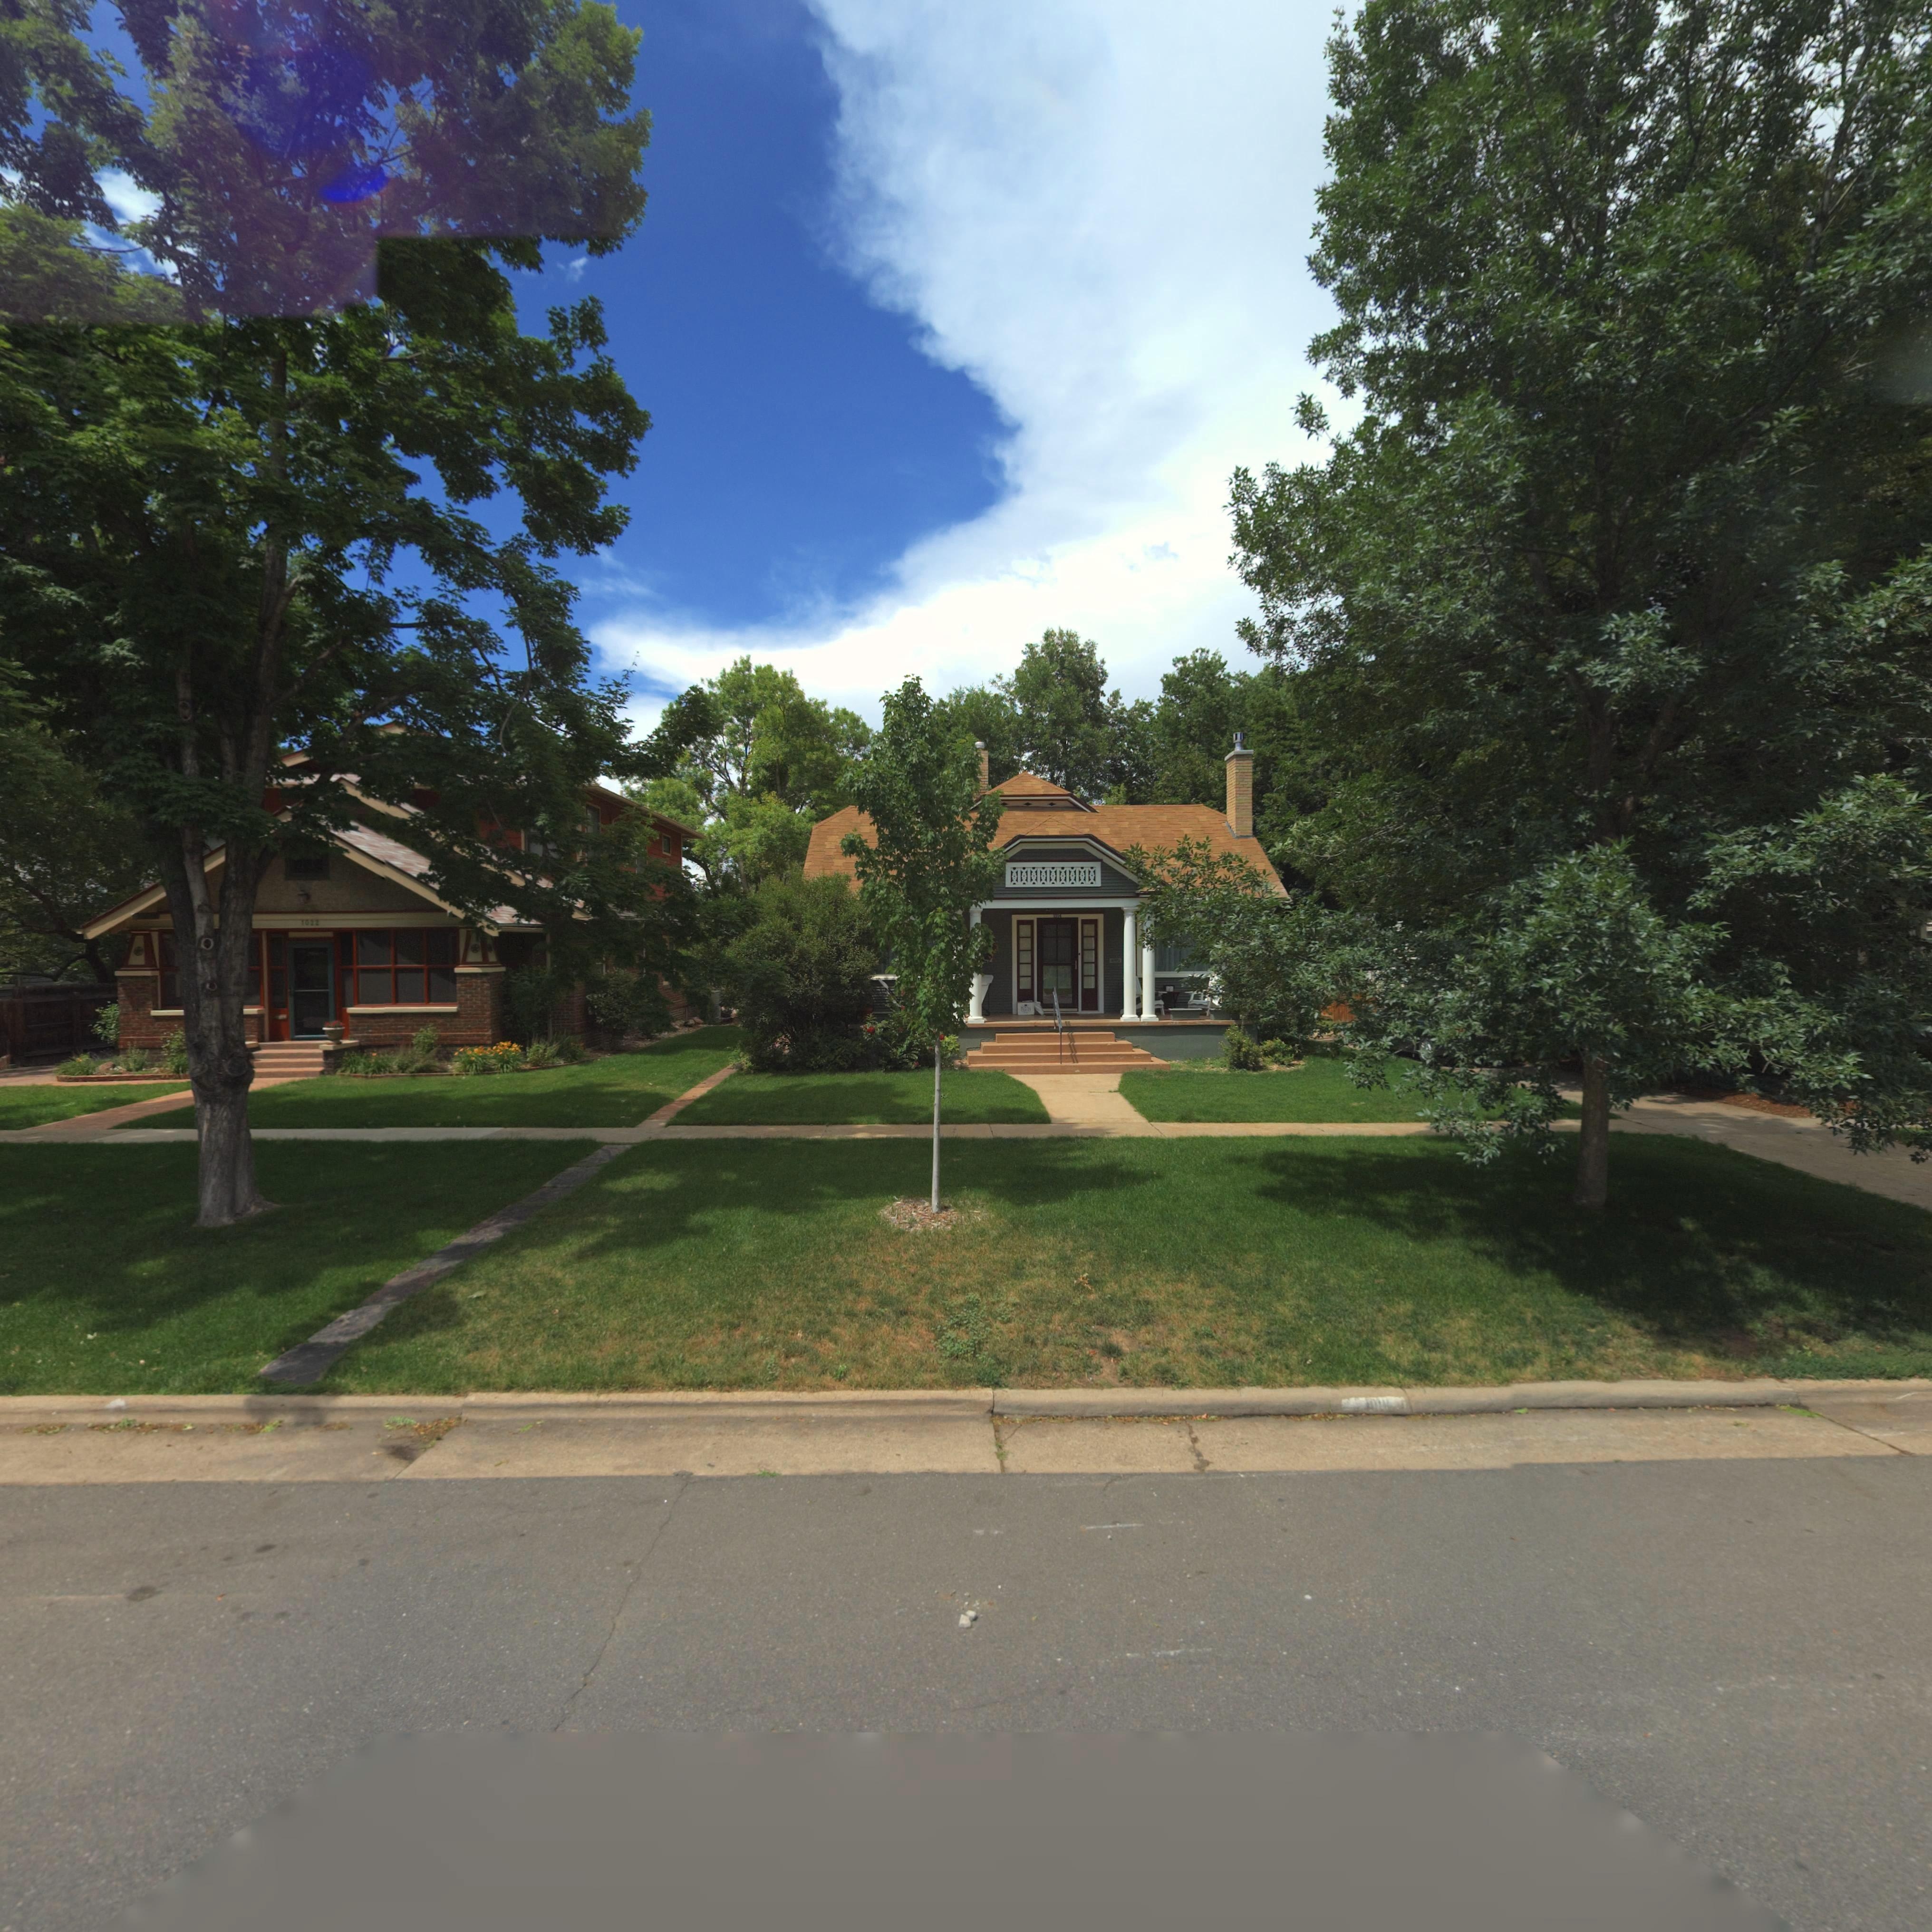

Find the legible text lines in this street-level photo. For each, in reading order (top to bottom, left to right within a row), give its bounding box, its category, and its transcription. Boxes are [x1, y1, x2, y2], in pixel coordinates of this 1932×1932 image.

[1053, 913, 1062, 918] StreetNumber: 1014
[300, 918, 319, 926] StreetNumber: 1022
[1363, 1396, 1389, 1411] StreetNumber: 1014